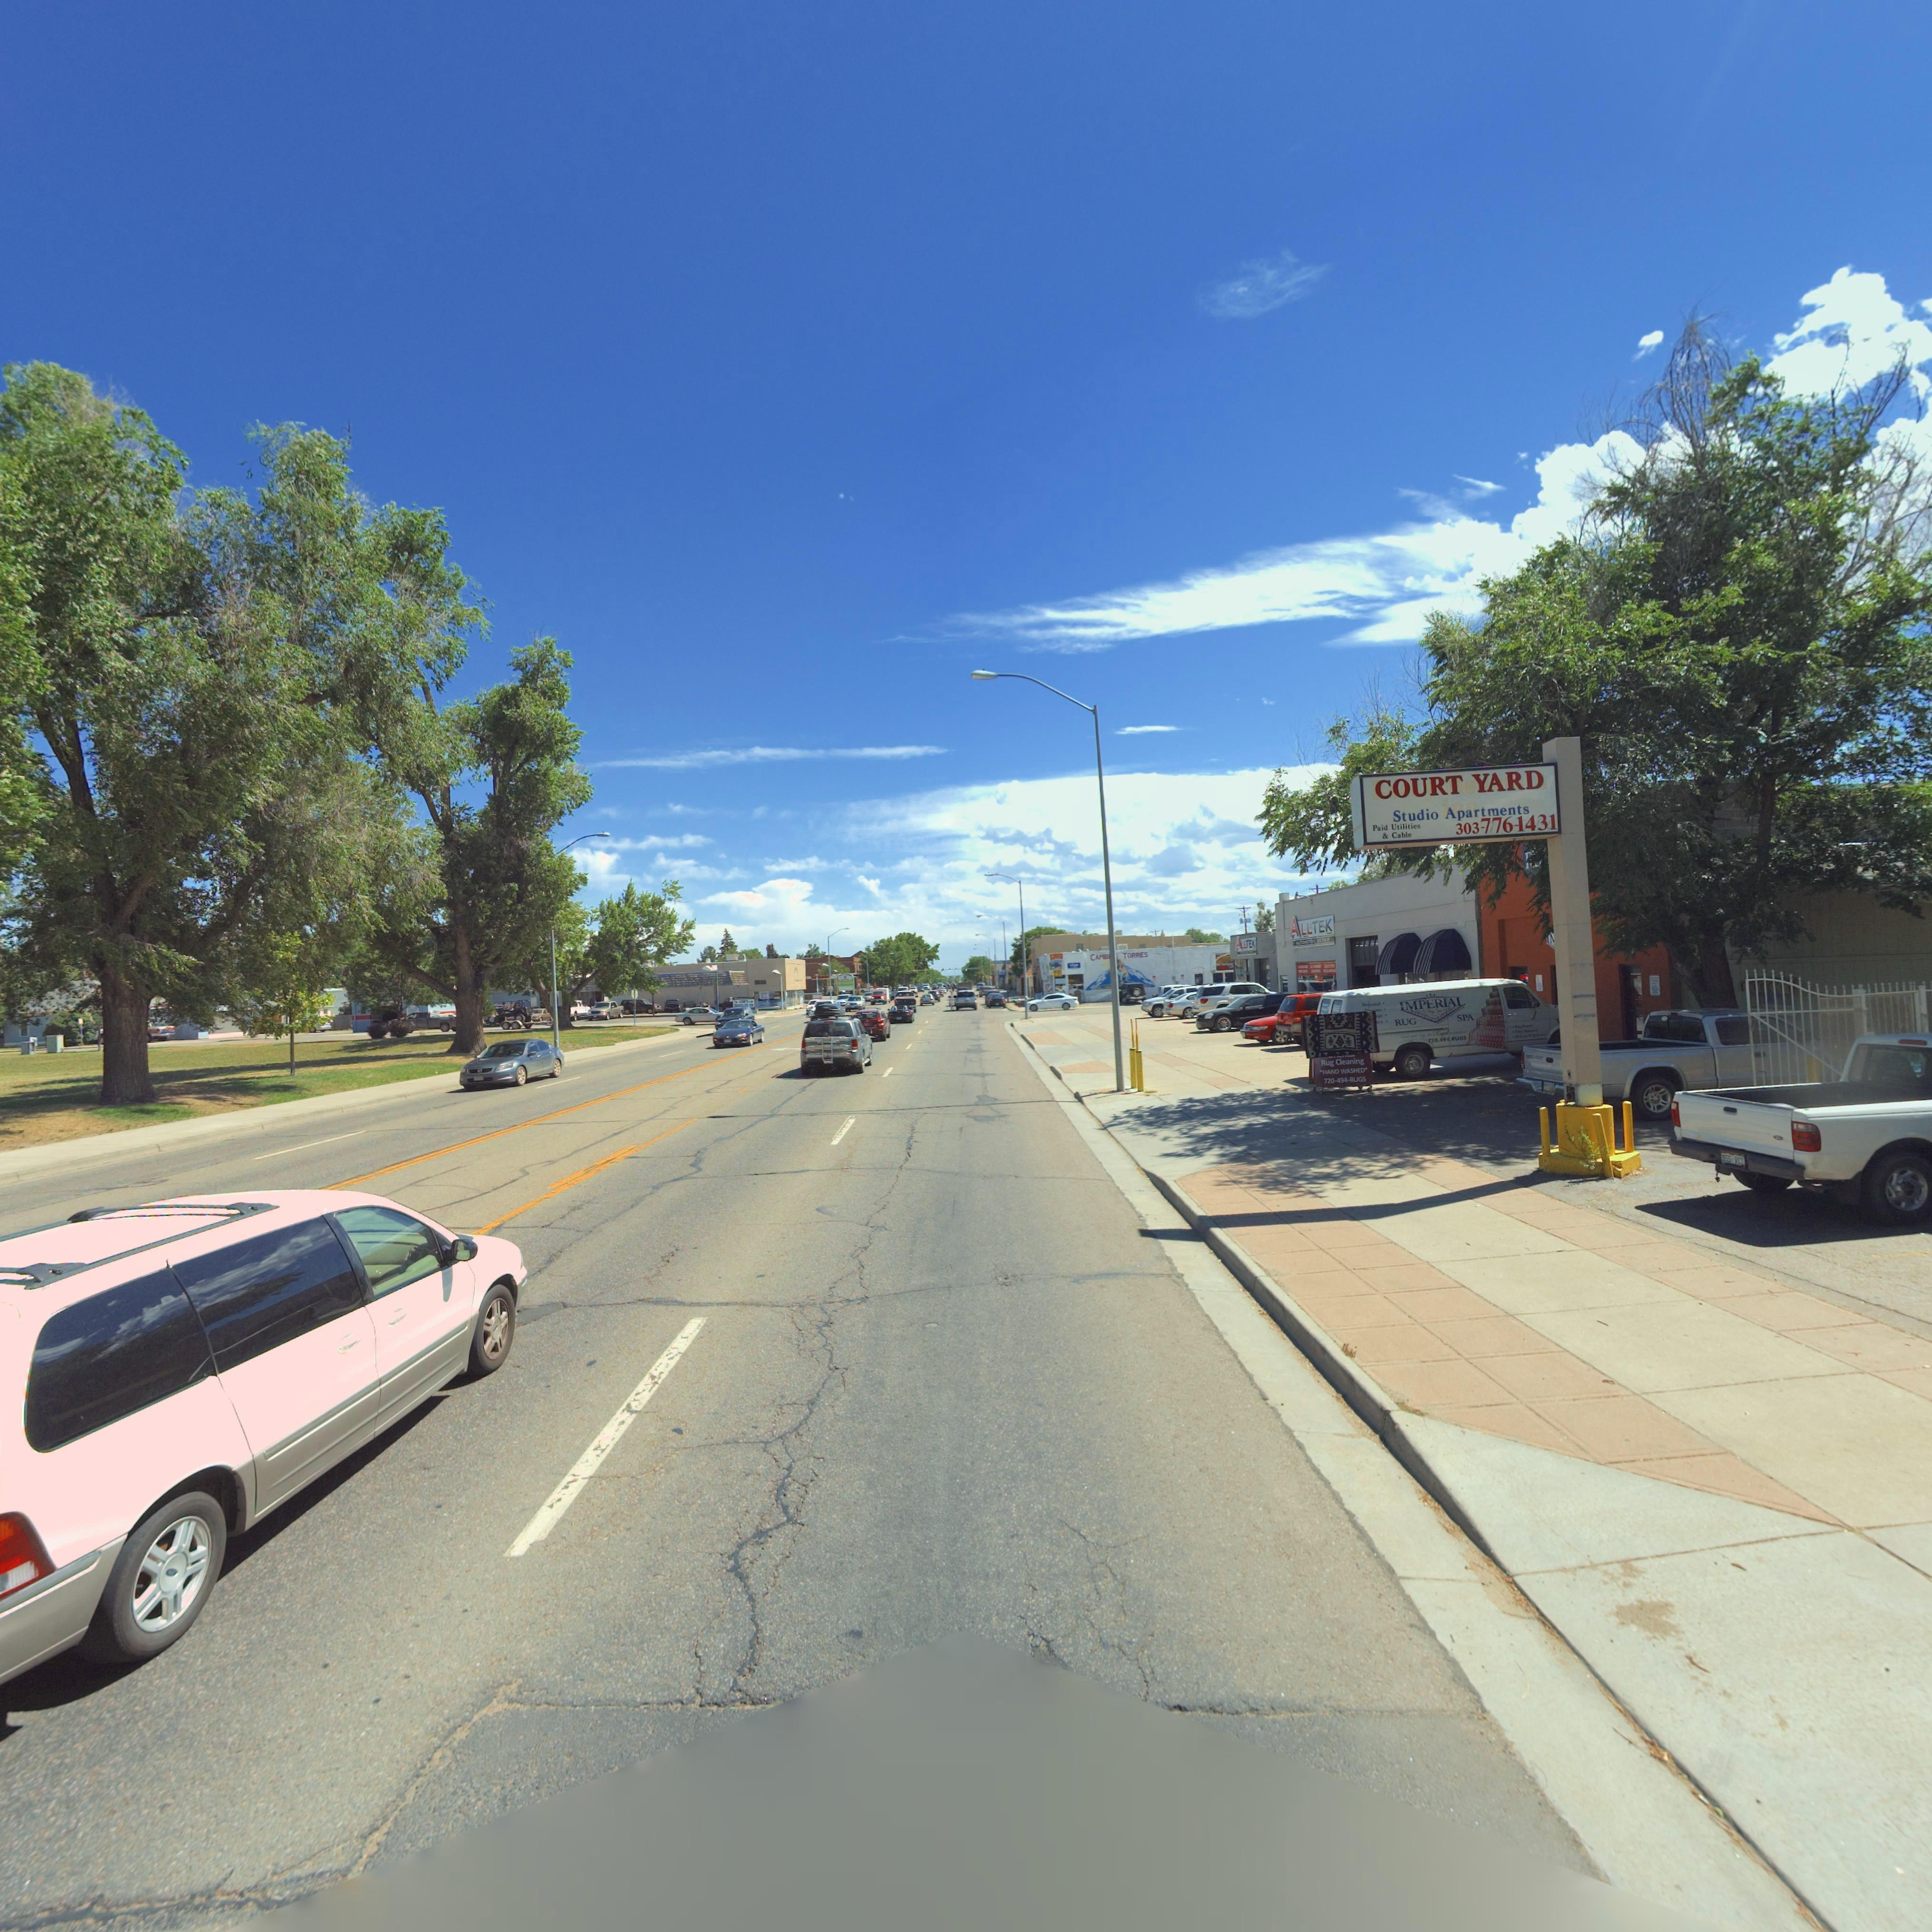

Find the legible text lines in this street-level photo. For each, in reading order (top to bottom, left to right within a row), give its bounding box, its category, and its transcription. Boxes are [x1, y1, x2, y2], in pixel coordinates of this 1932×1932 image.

[1374, 770, 1544, 800] BusinessName: COURT YARD
[1288, 916, 1333, 939] BusinessName: ALLTEK
[1234, 936, 1256, 950] BusinessName: *LLTEK
[1090, 951, 1149, 961] BusinessName: CAMBI** TORRES